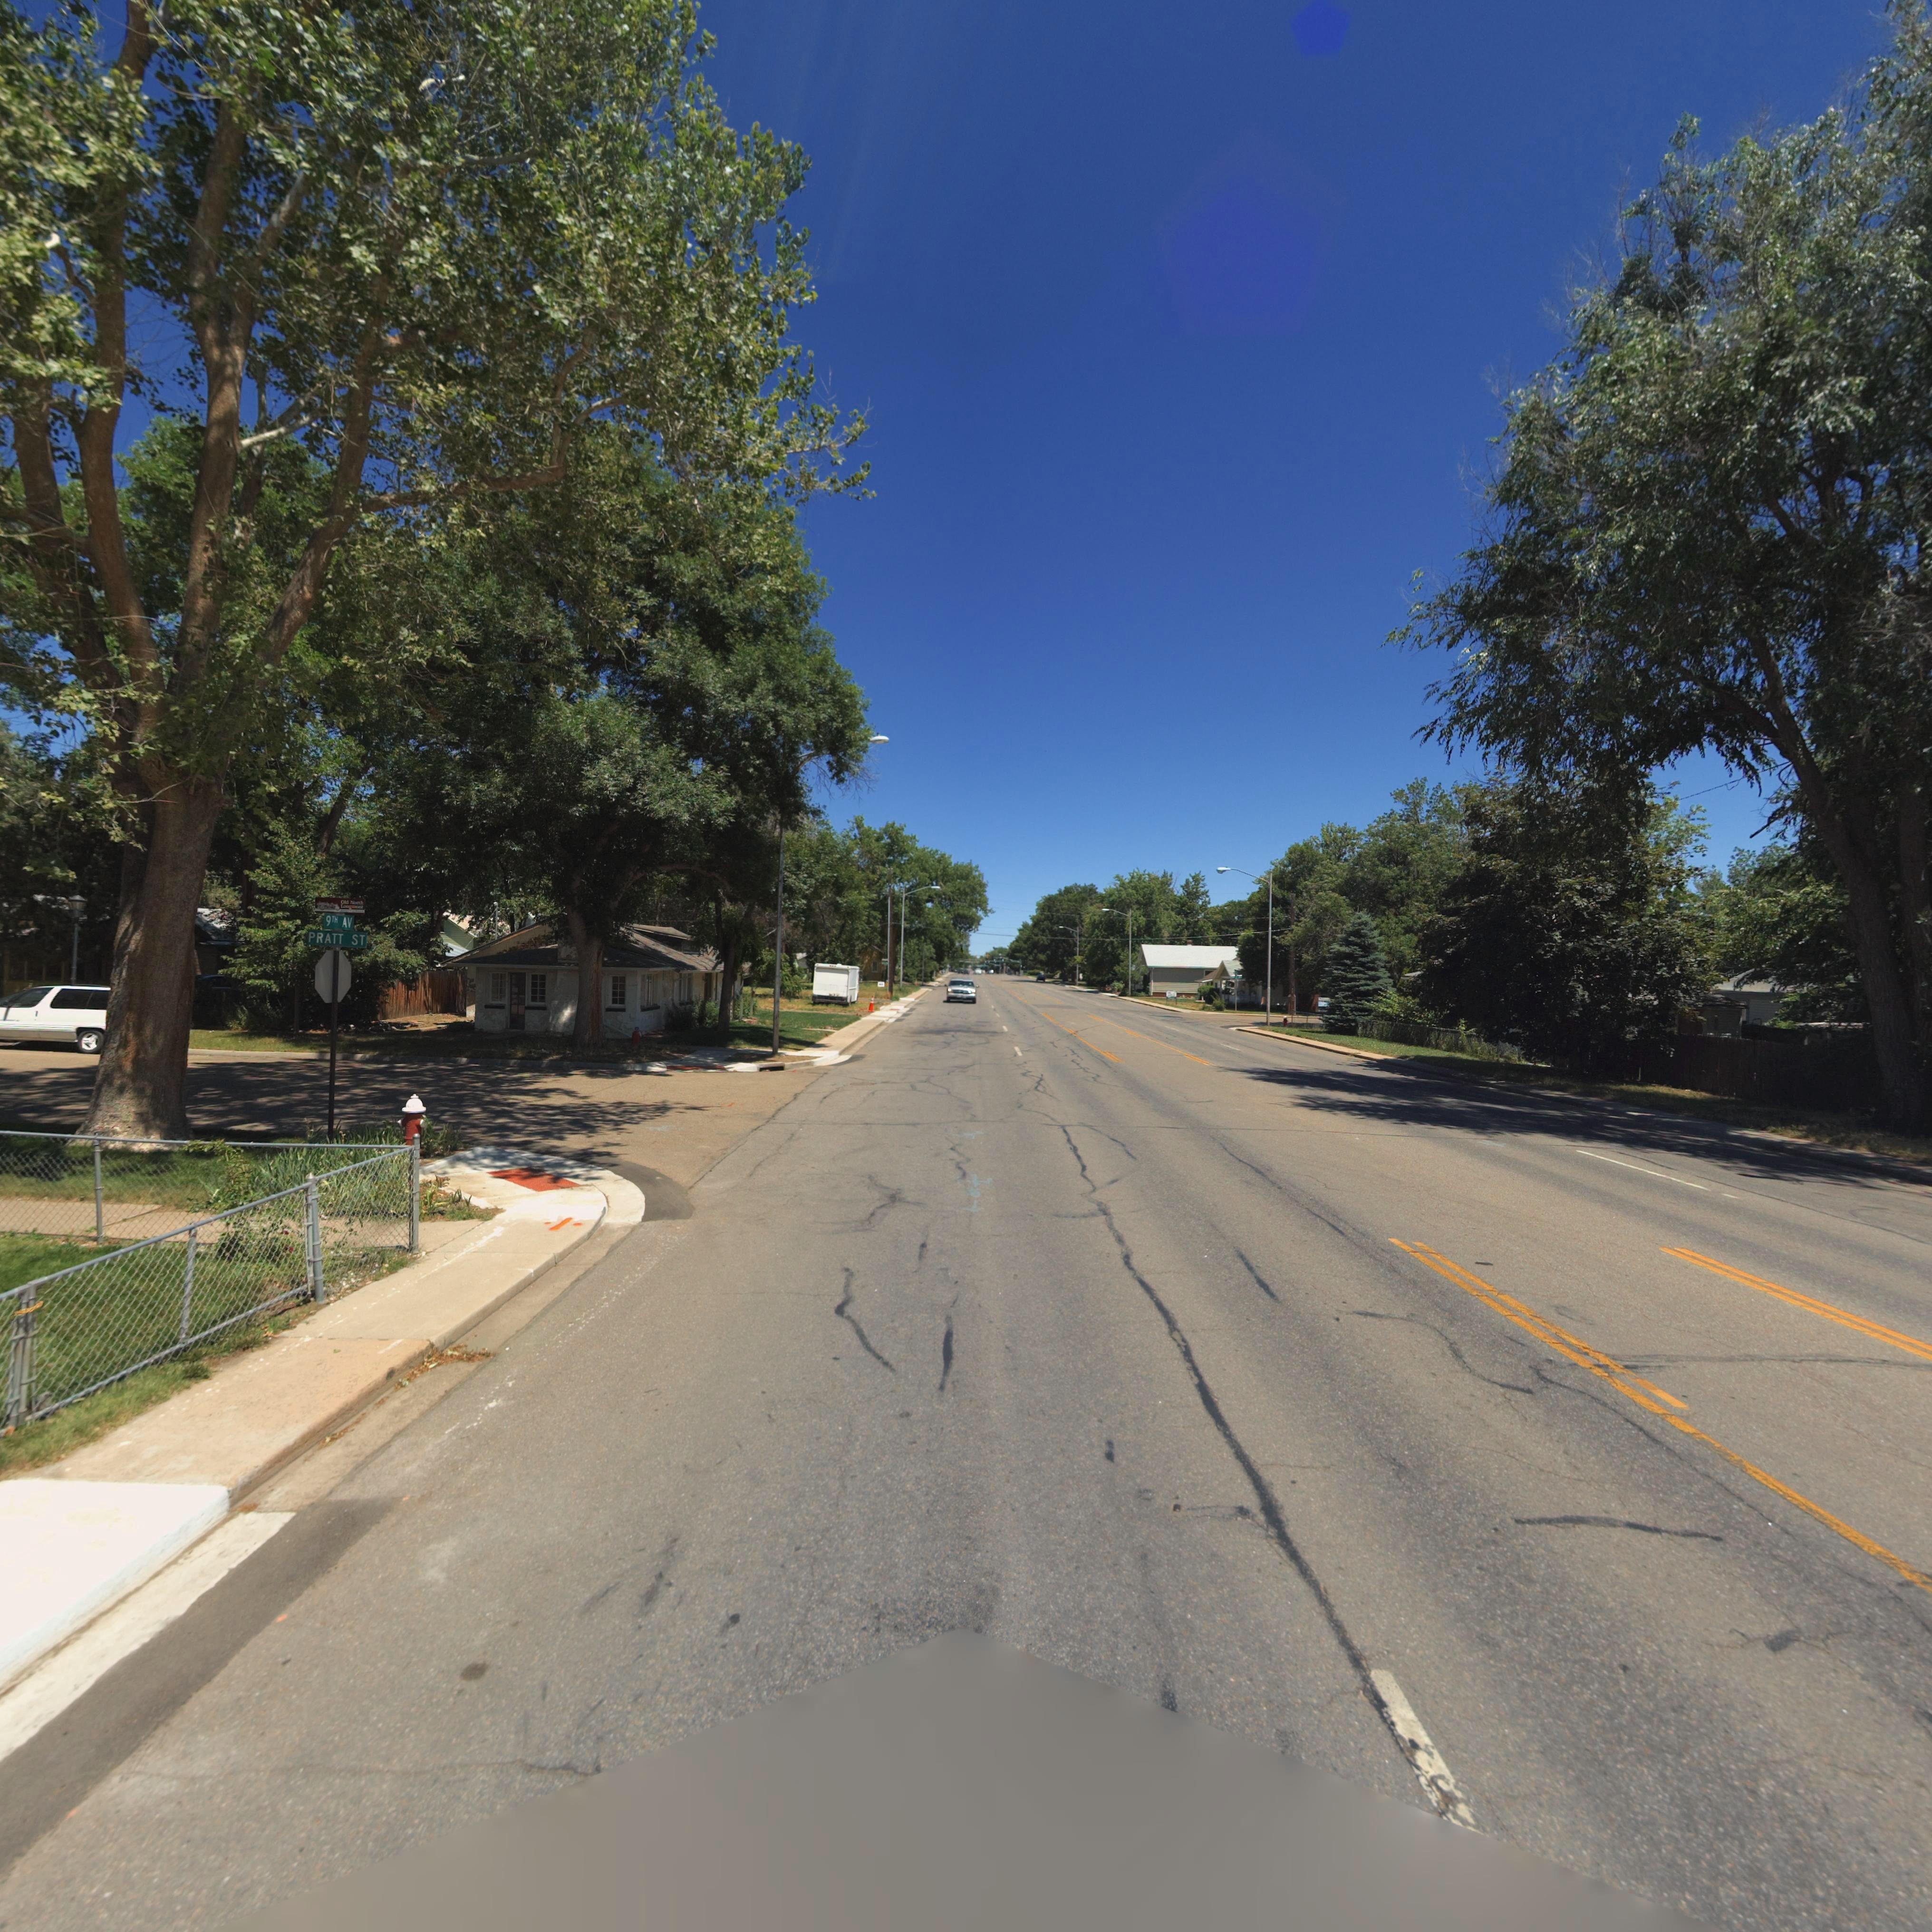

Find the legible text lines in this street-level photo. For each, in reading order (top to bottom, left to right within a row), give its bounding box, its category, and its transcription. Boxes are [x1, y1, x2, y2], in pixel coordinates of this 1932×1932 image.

[325, 915, 353, 928] StreetName: 9TH AV
[309, 932, 365, 945] StreetName: PRATT ST